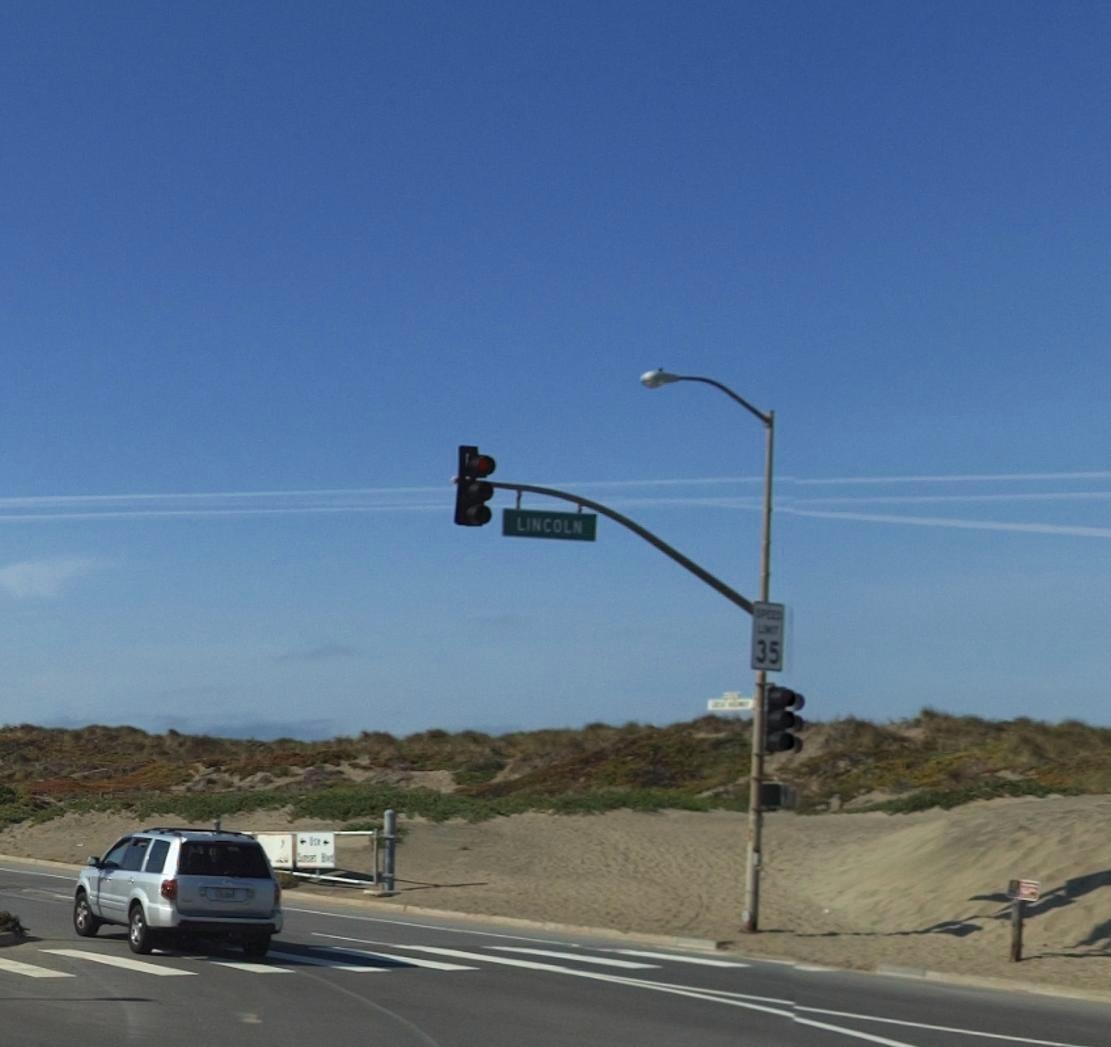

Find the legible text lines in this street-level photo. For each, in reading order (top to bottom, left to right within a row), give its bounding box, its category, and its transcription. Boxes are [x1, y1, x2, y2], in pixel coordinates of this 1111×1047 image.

[515, 513, 582, 536] StreetName: LINCOLN
[755, 605, 784, 621] None: SPEED
[755, 620, 781, 638] None: LIMIT
[754, 637, 781, 666] None: 35